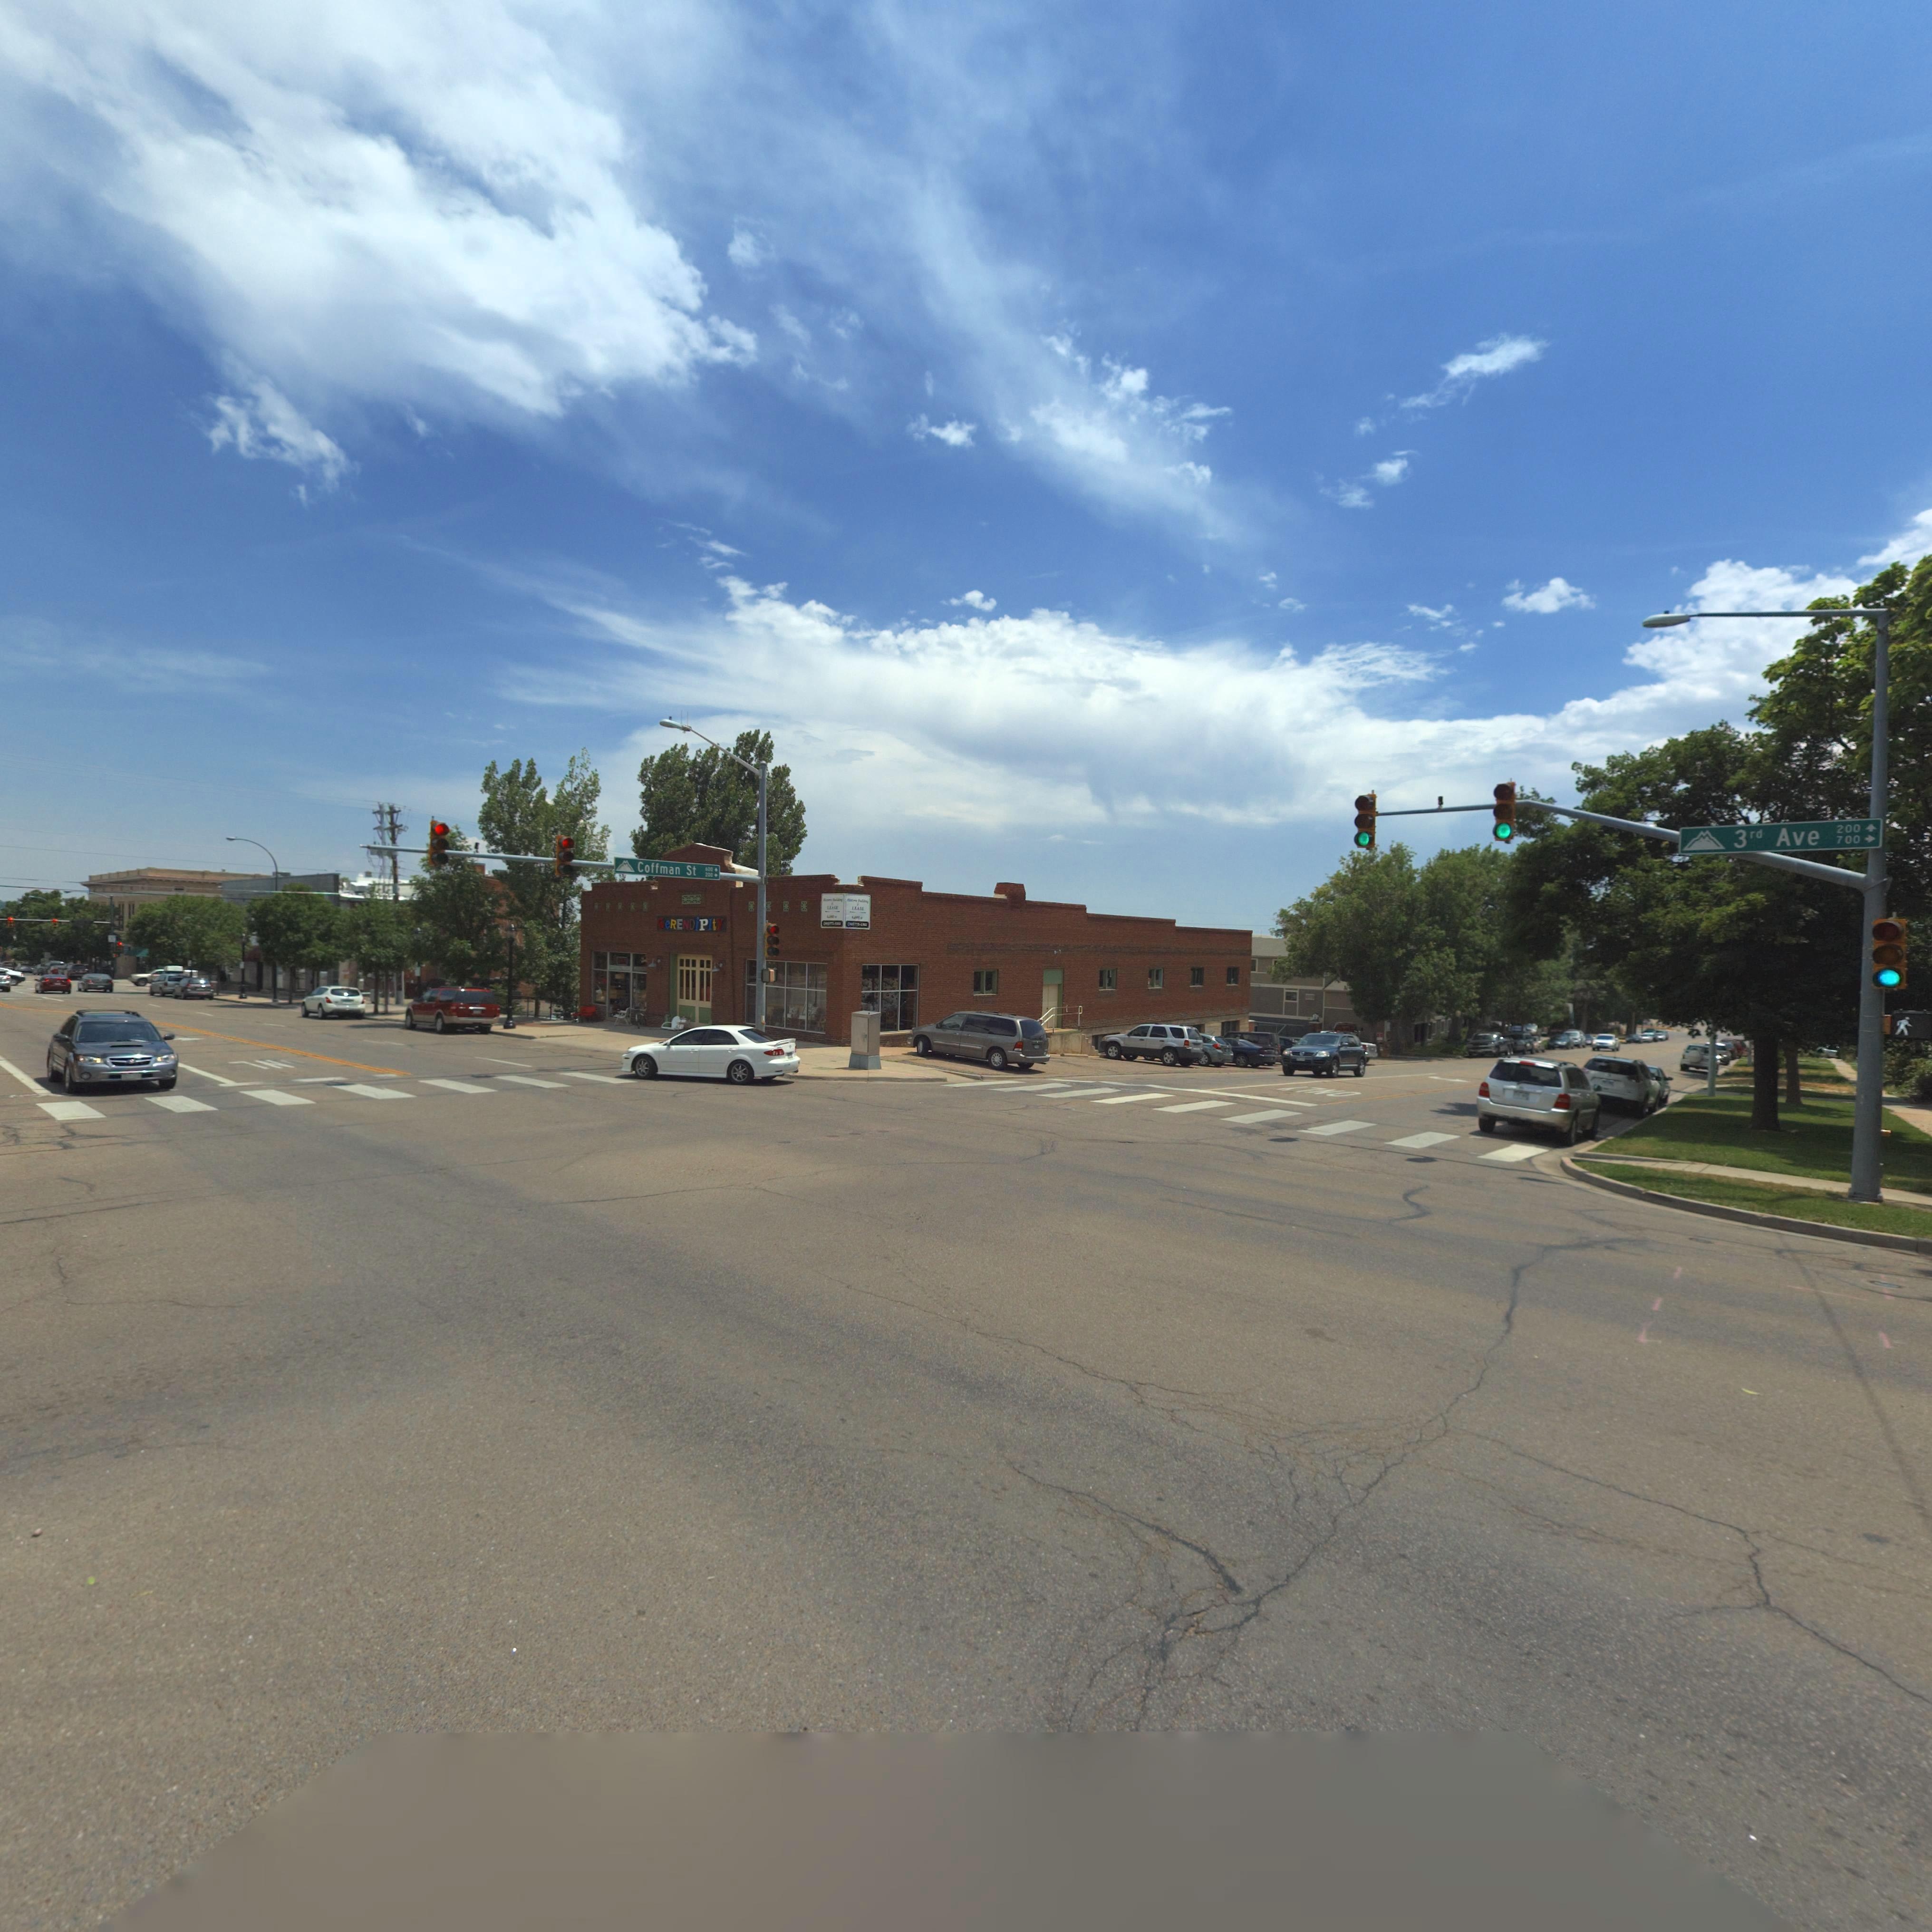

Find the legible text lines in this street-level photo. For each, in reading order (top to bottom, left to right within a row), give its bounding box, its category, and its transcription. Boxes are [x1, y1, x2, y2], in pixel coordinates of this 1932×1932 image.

[1835, 823, 1861, 834] StreetNumberRange: 200
[1732, 826, 1820, 849] StreetName: 3rd Ave
[1835, 833, 1877, 845] StreetNumberRange: 700->
[636, 861, 696, 876] StreetName: Coffman St
[705, 866, 714, 872] StreetNumberRange: 600
[655, 917, 724, 932] BusinessName: SeRENDiPItY